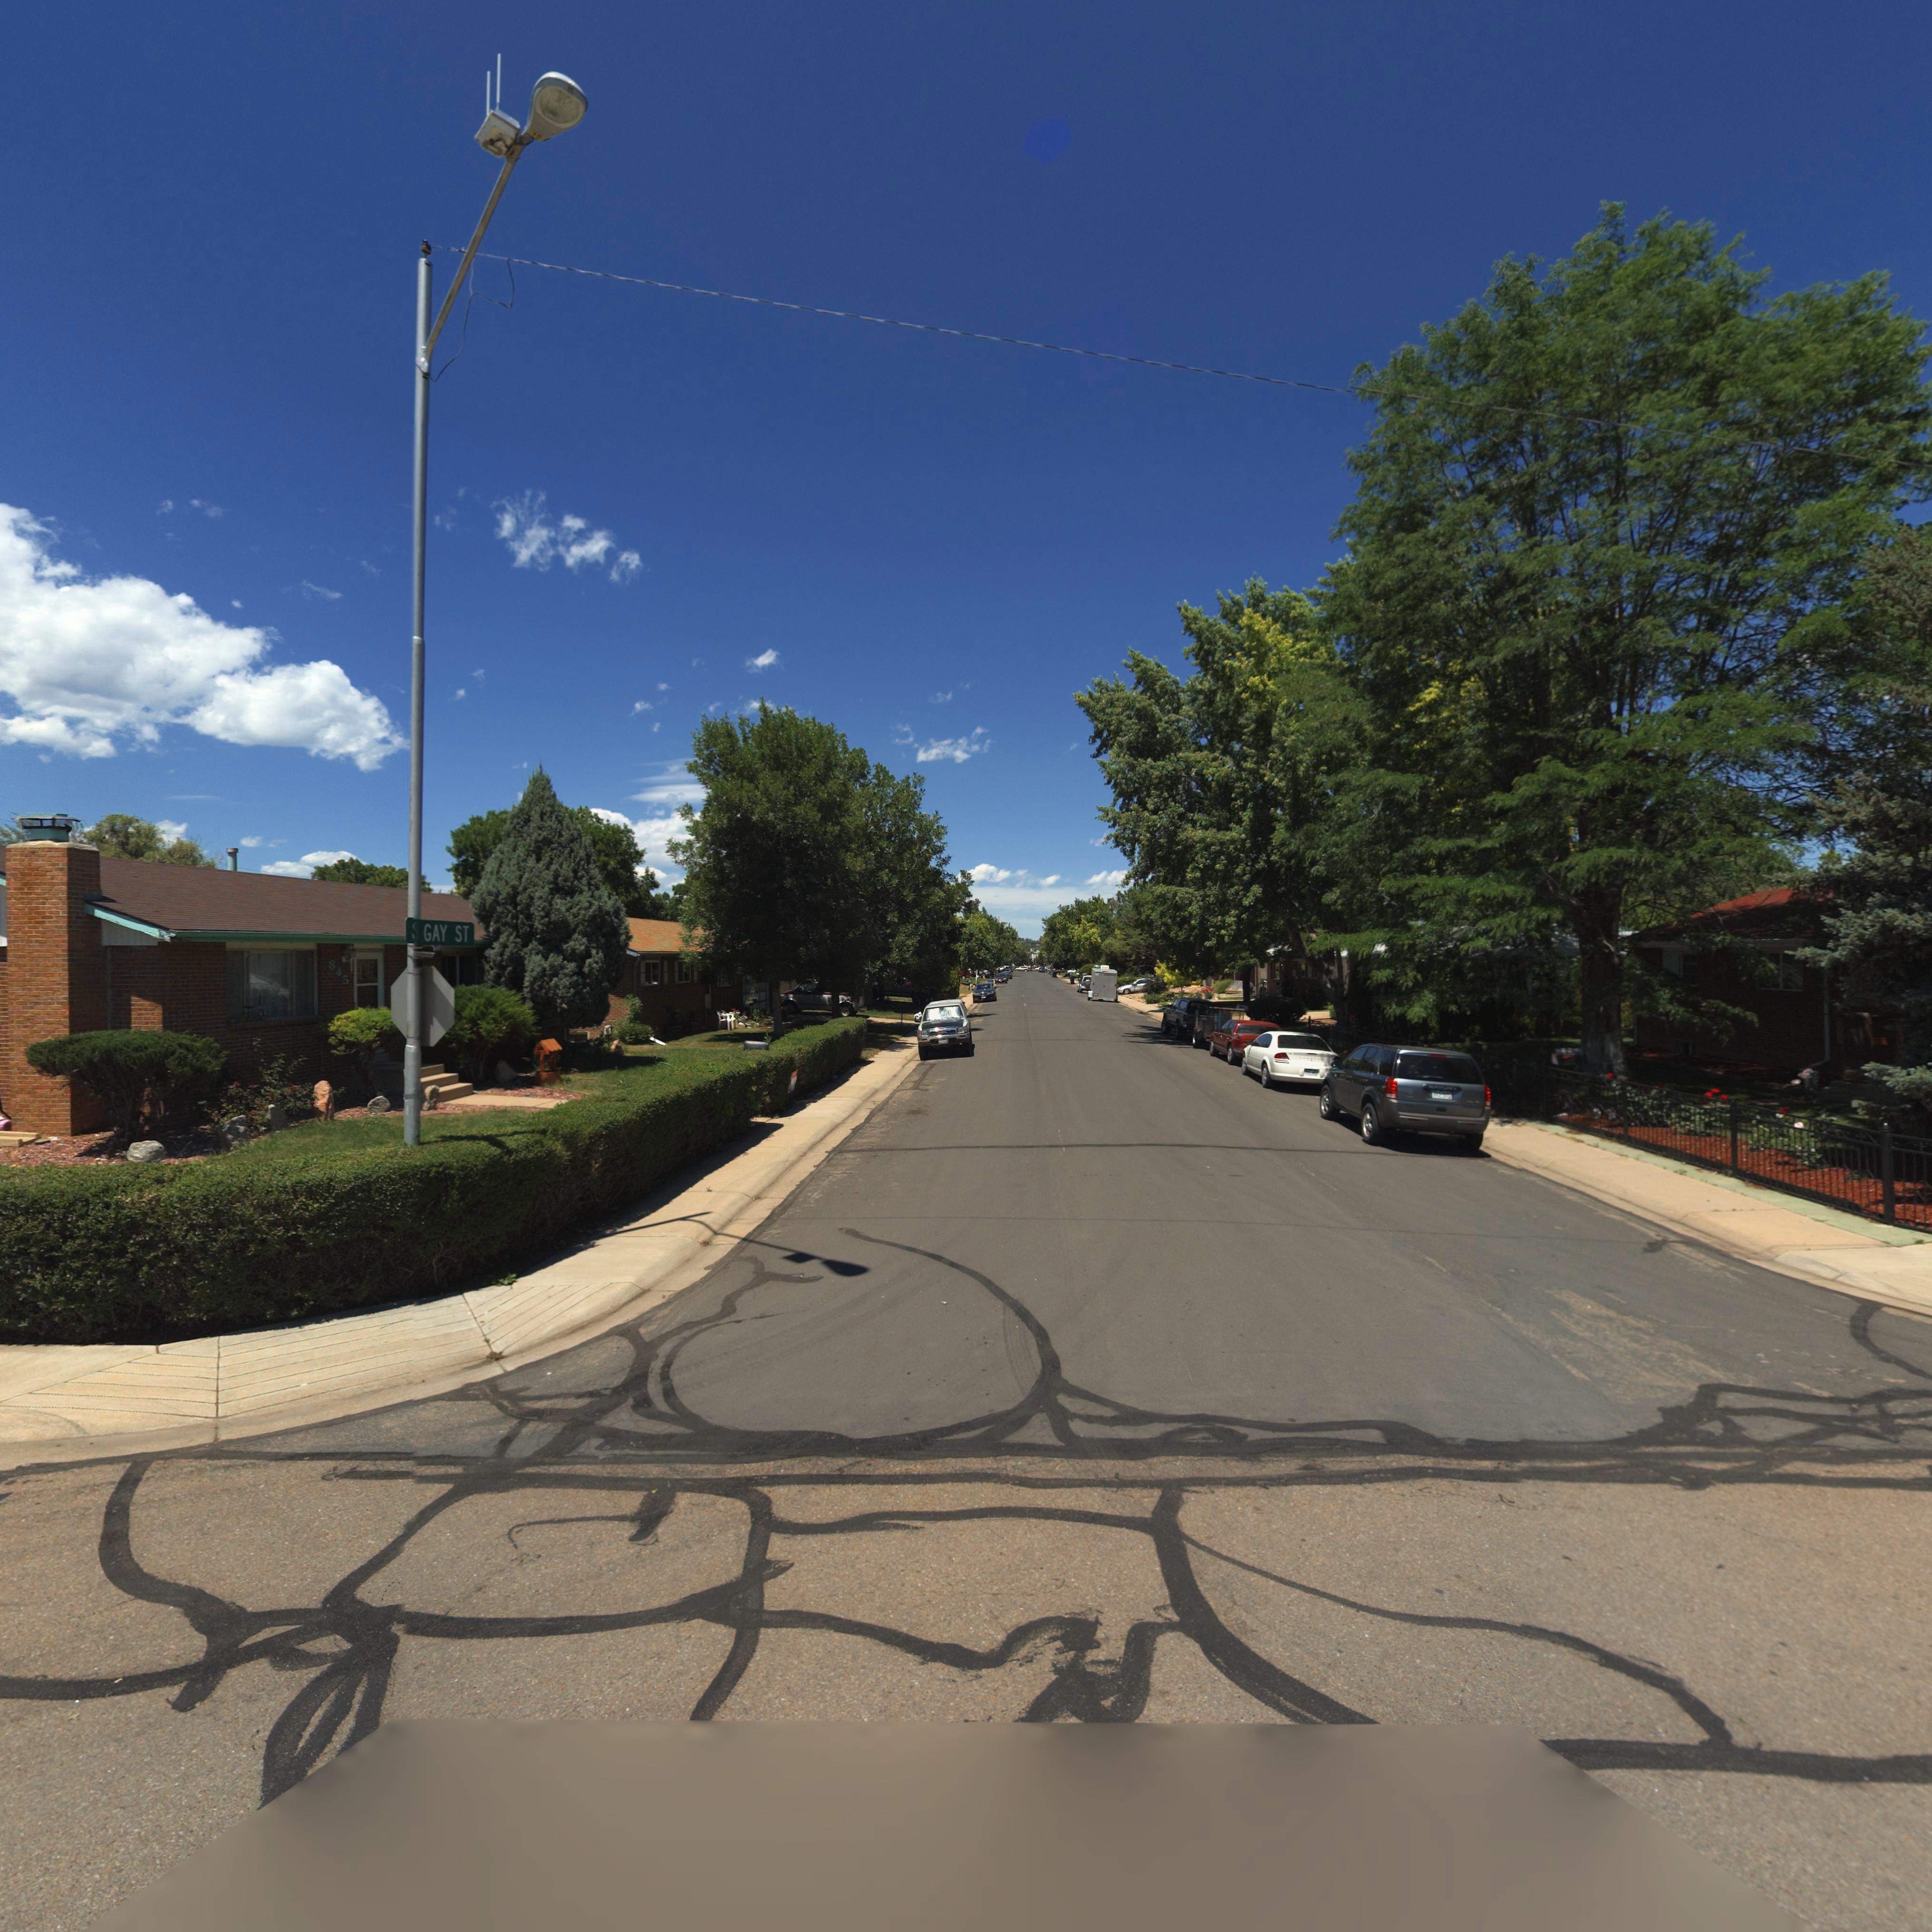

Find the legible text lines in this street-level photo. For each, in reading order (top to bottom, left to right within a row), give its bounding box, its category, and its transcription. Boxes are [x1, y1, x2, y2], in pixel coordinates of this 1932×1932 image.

[410, 922, 470, 943] StreetName: * GAY ST
[327, 959, 349, 985] StreetNumber: 845